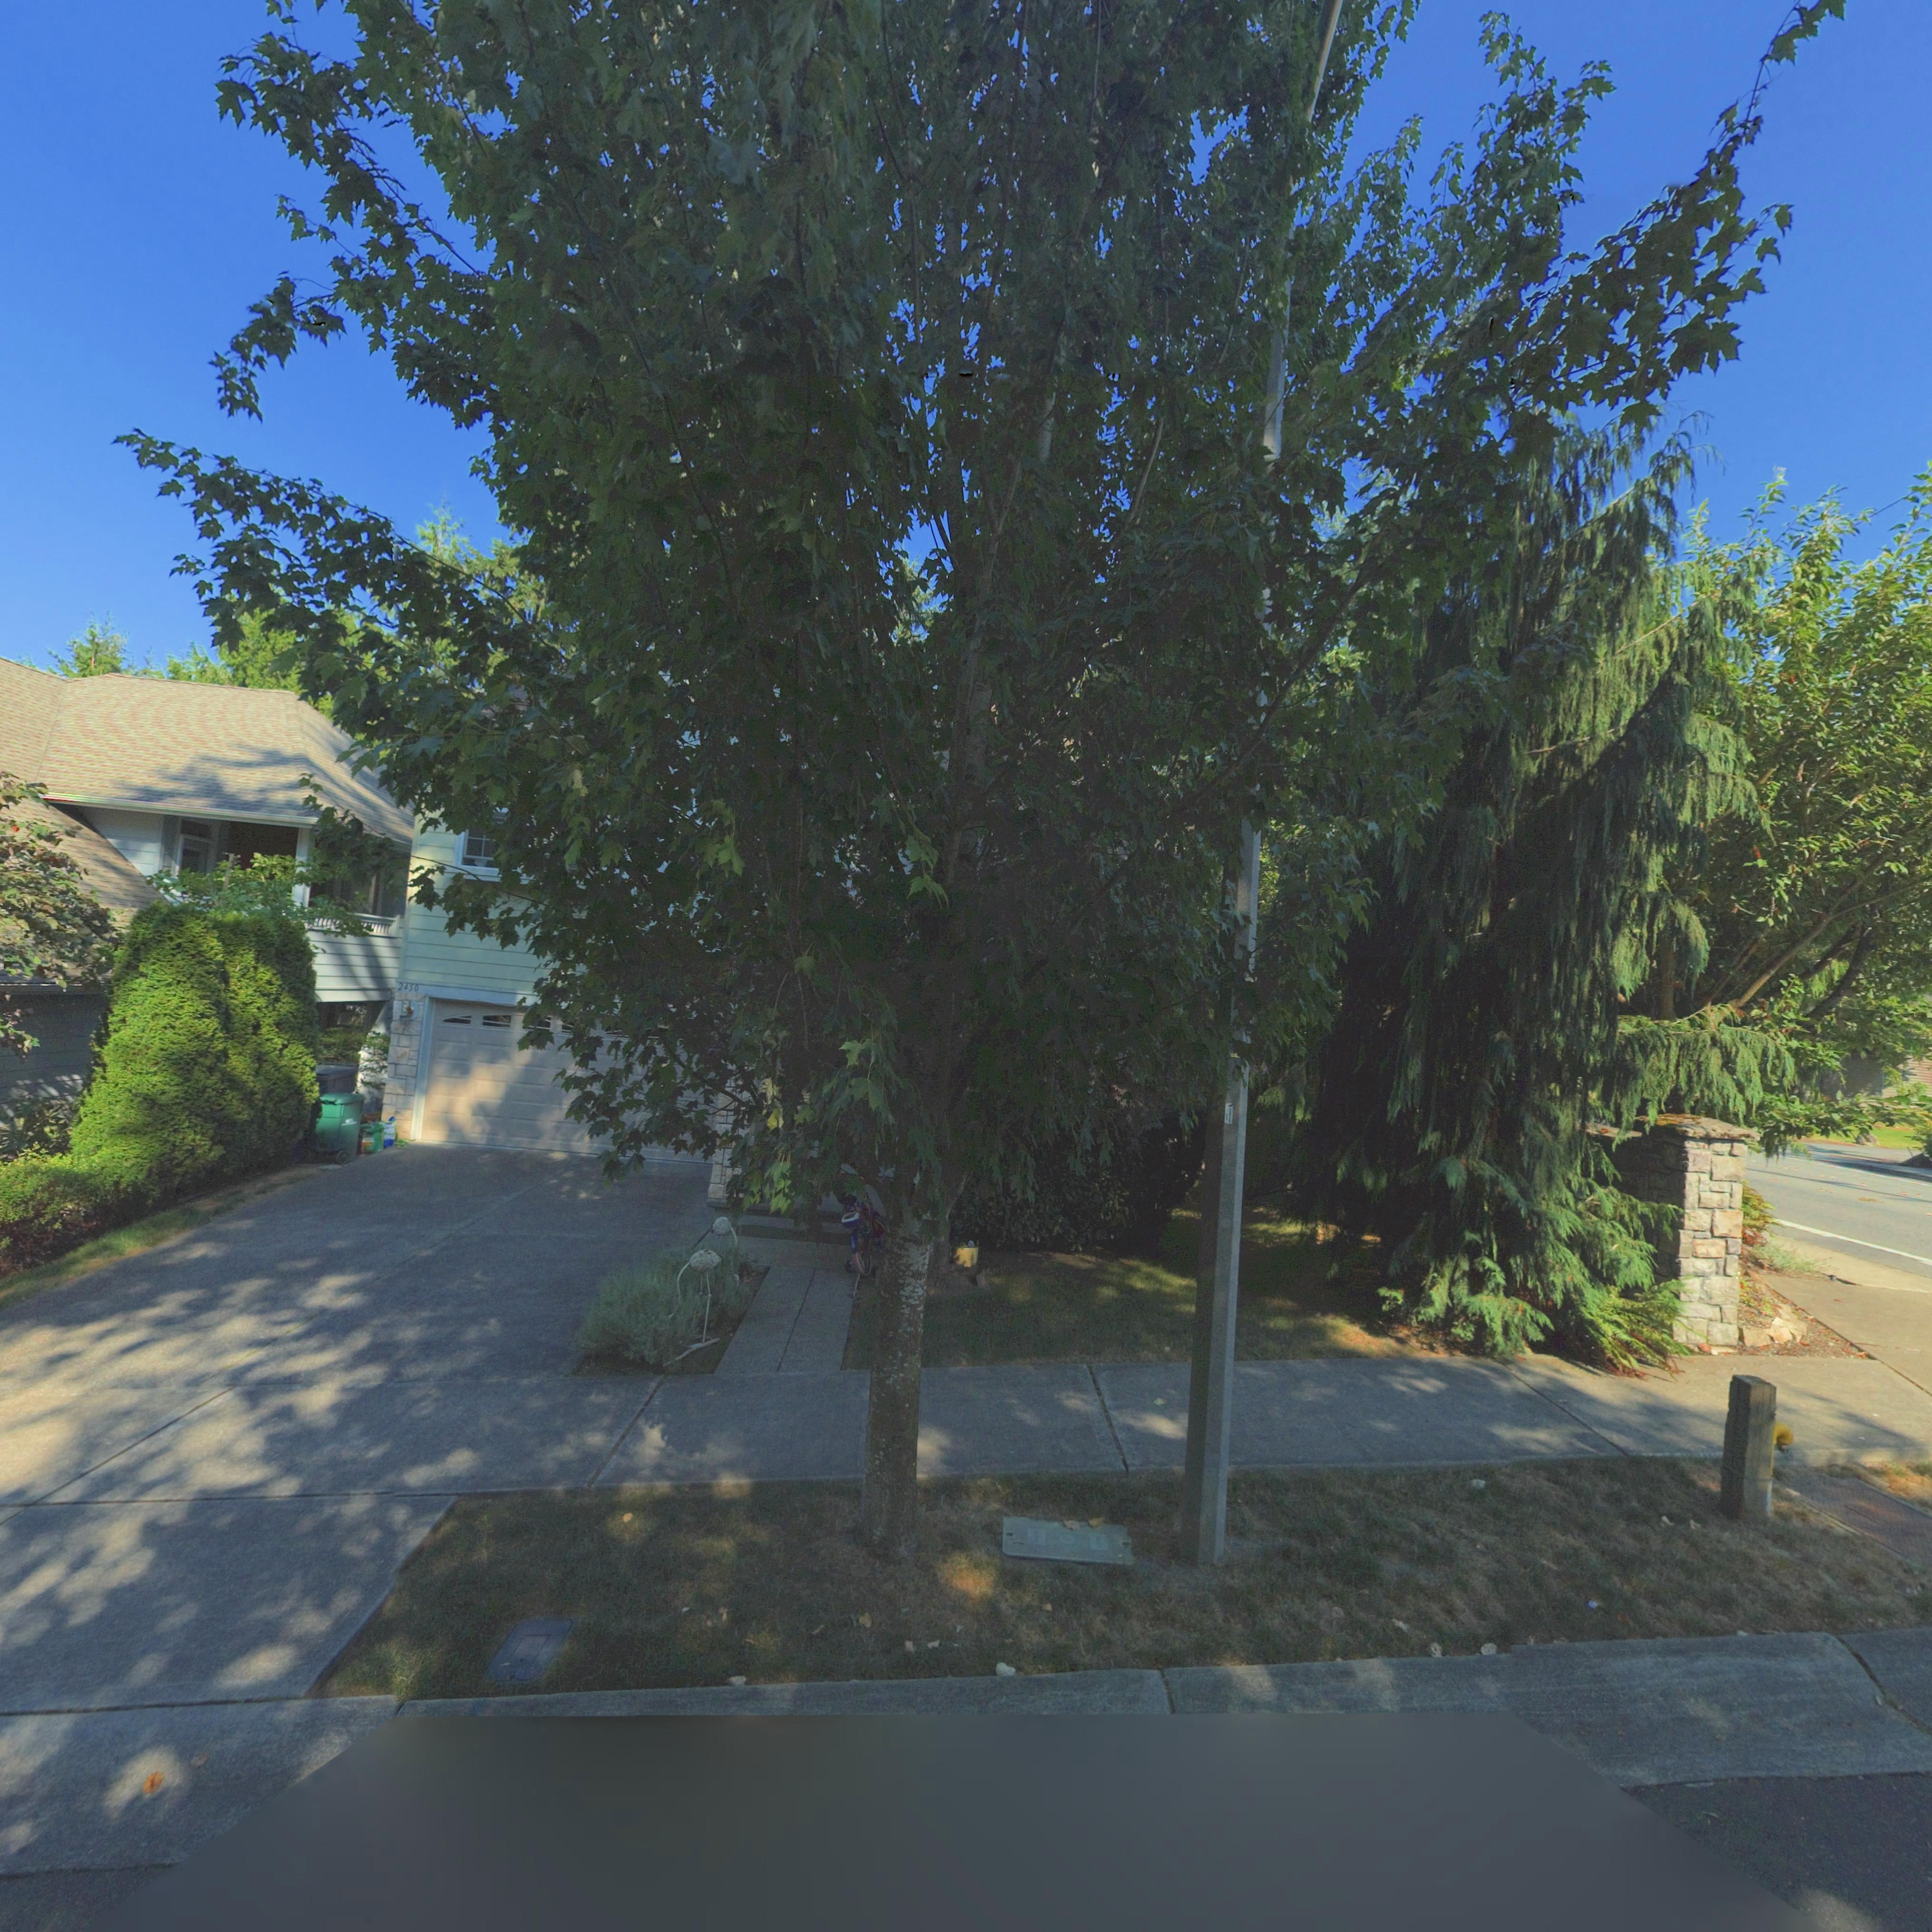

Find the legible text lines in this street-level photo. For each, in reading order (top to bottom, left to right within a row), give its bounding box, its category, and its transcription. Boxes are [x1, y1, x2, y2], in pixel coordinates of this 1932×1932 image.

[397, 982, 419, 992] StreetNumber: 2450